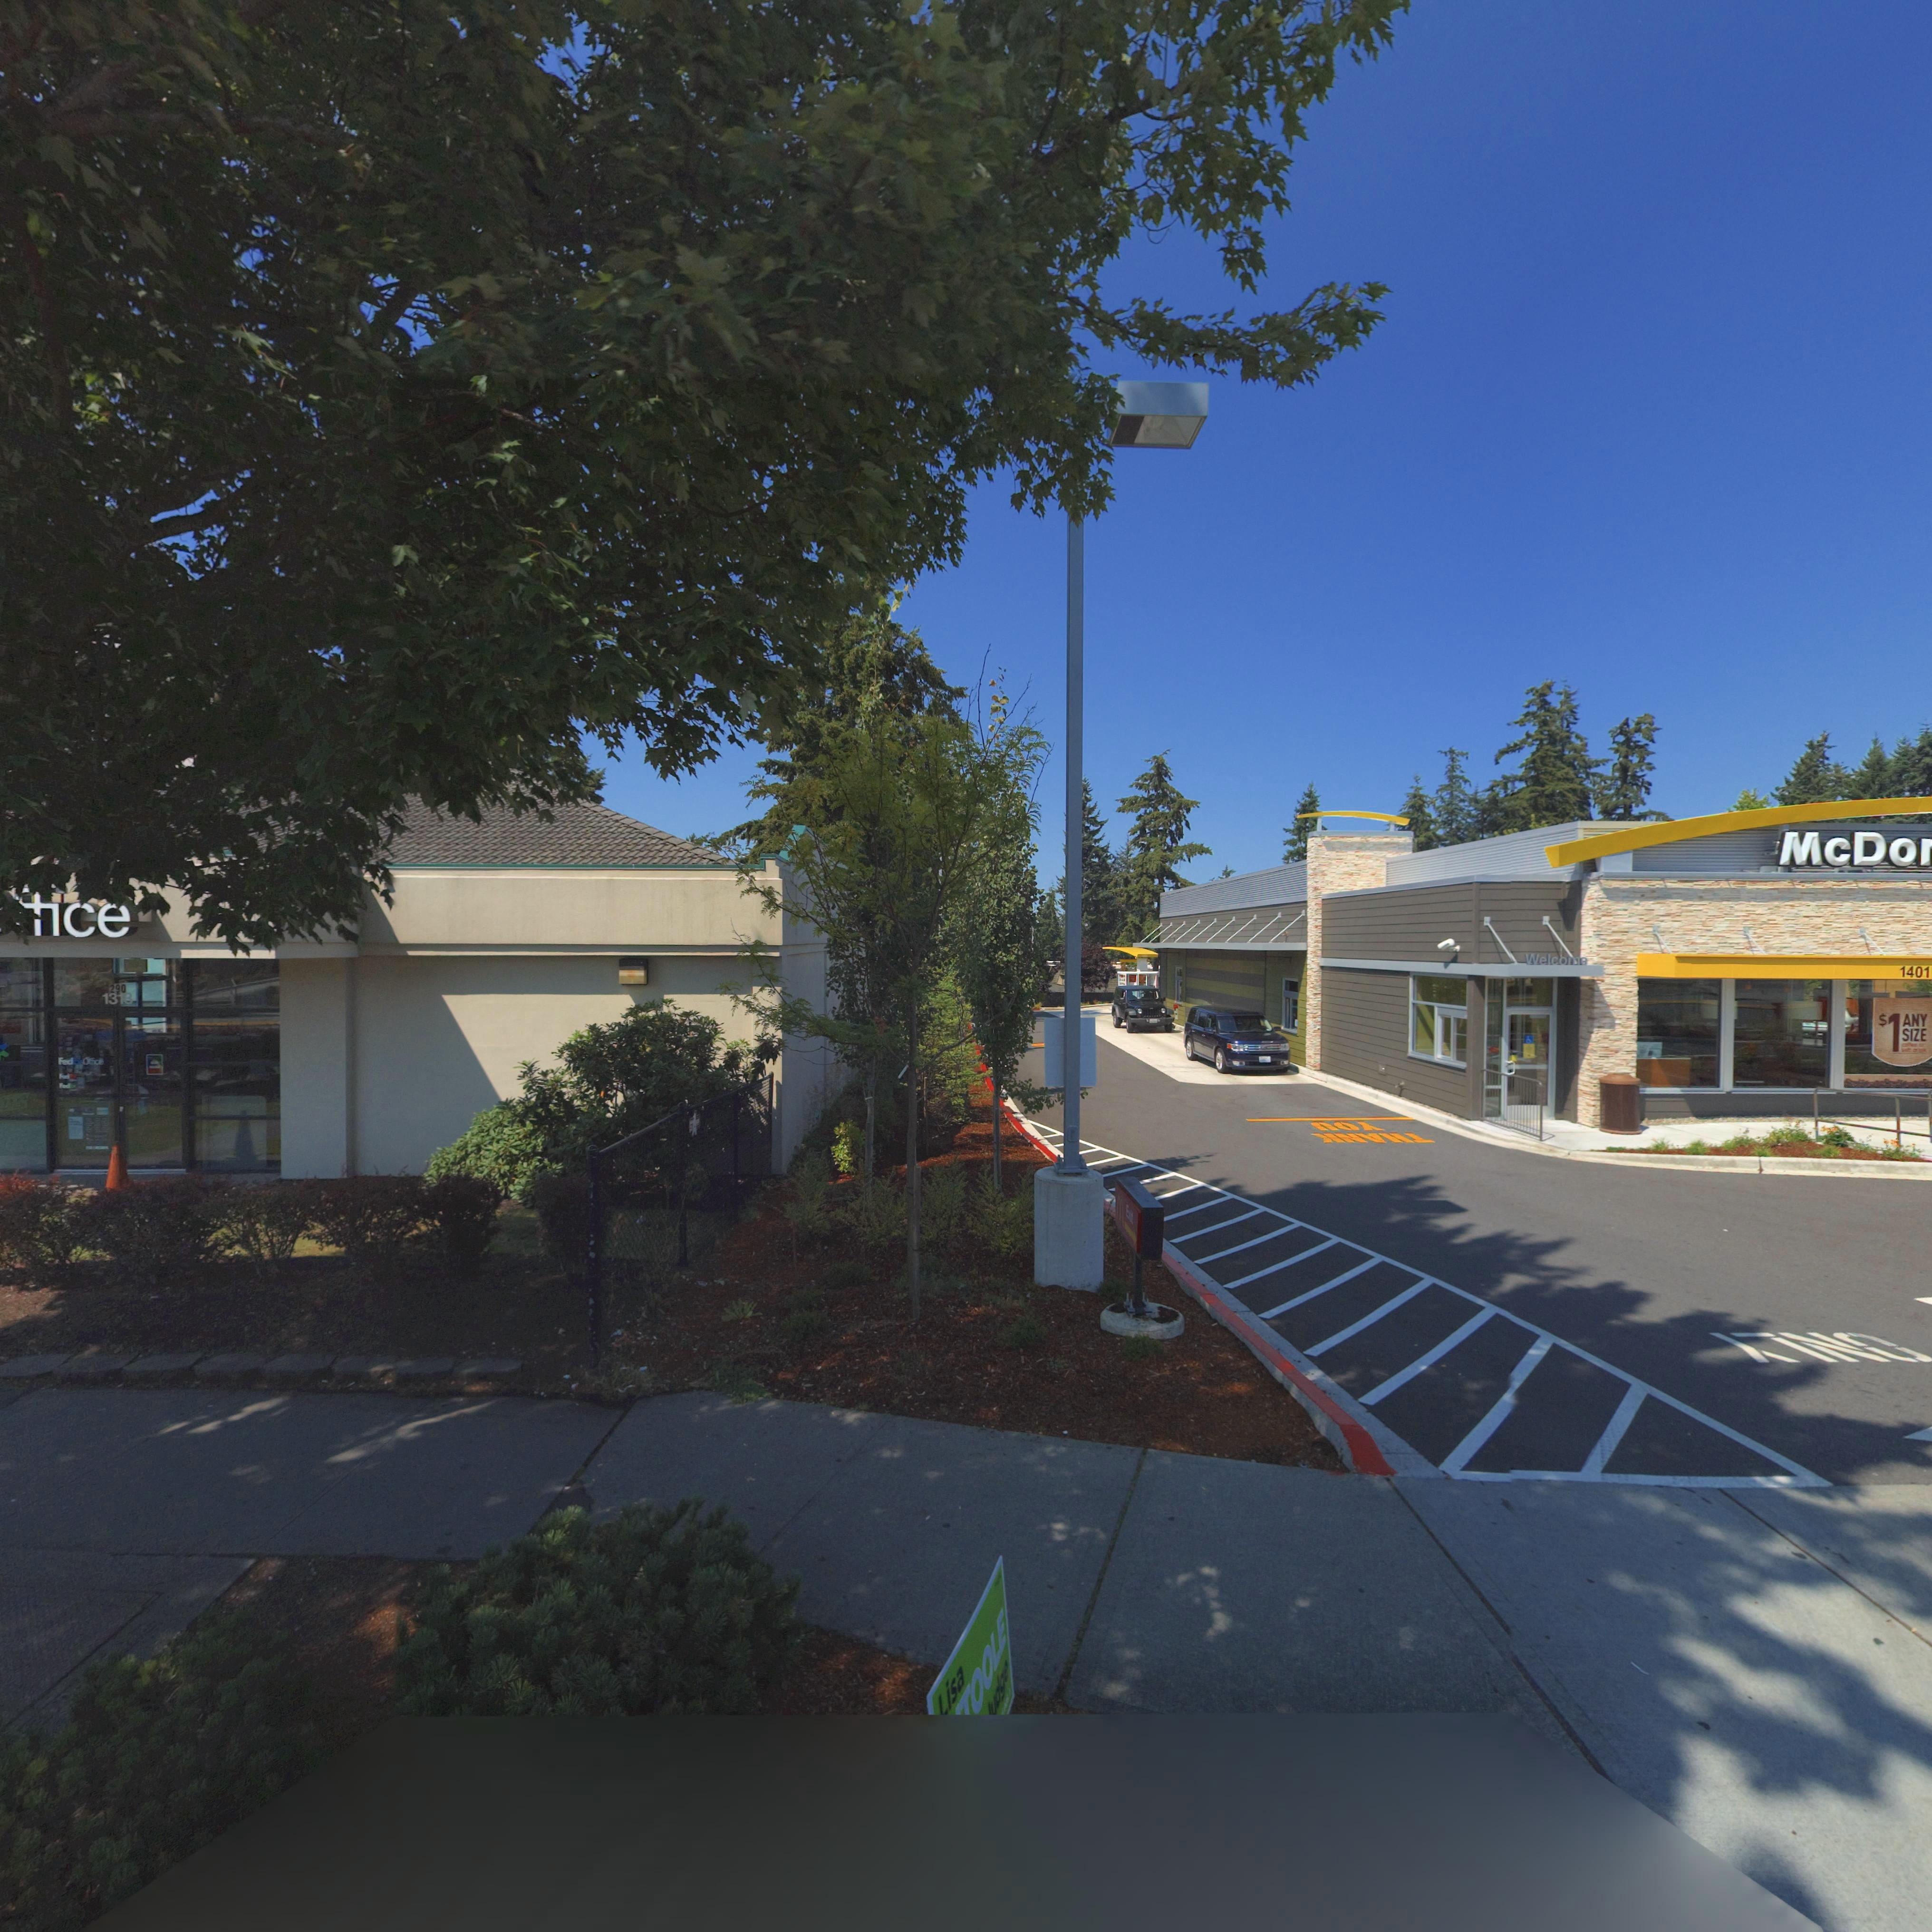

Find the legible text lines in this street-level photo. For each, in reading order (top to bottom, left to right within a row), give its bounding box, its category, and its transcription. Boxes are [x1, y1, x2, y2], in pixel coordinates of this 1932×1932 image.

[1774, 827, 1932, 869] BusinessName: McDo*
[1900, 966, 1932, 978] StreetNumber: 1401